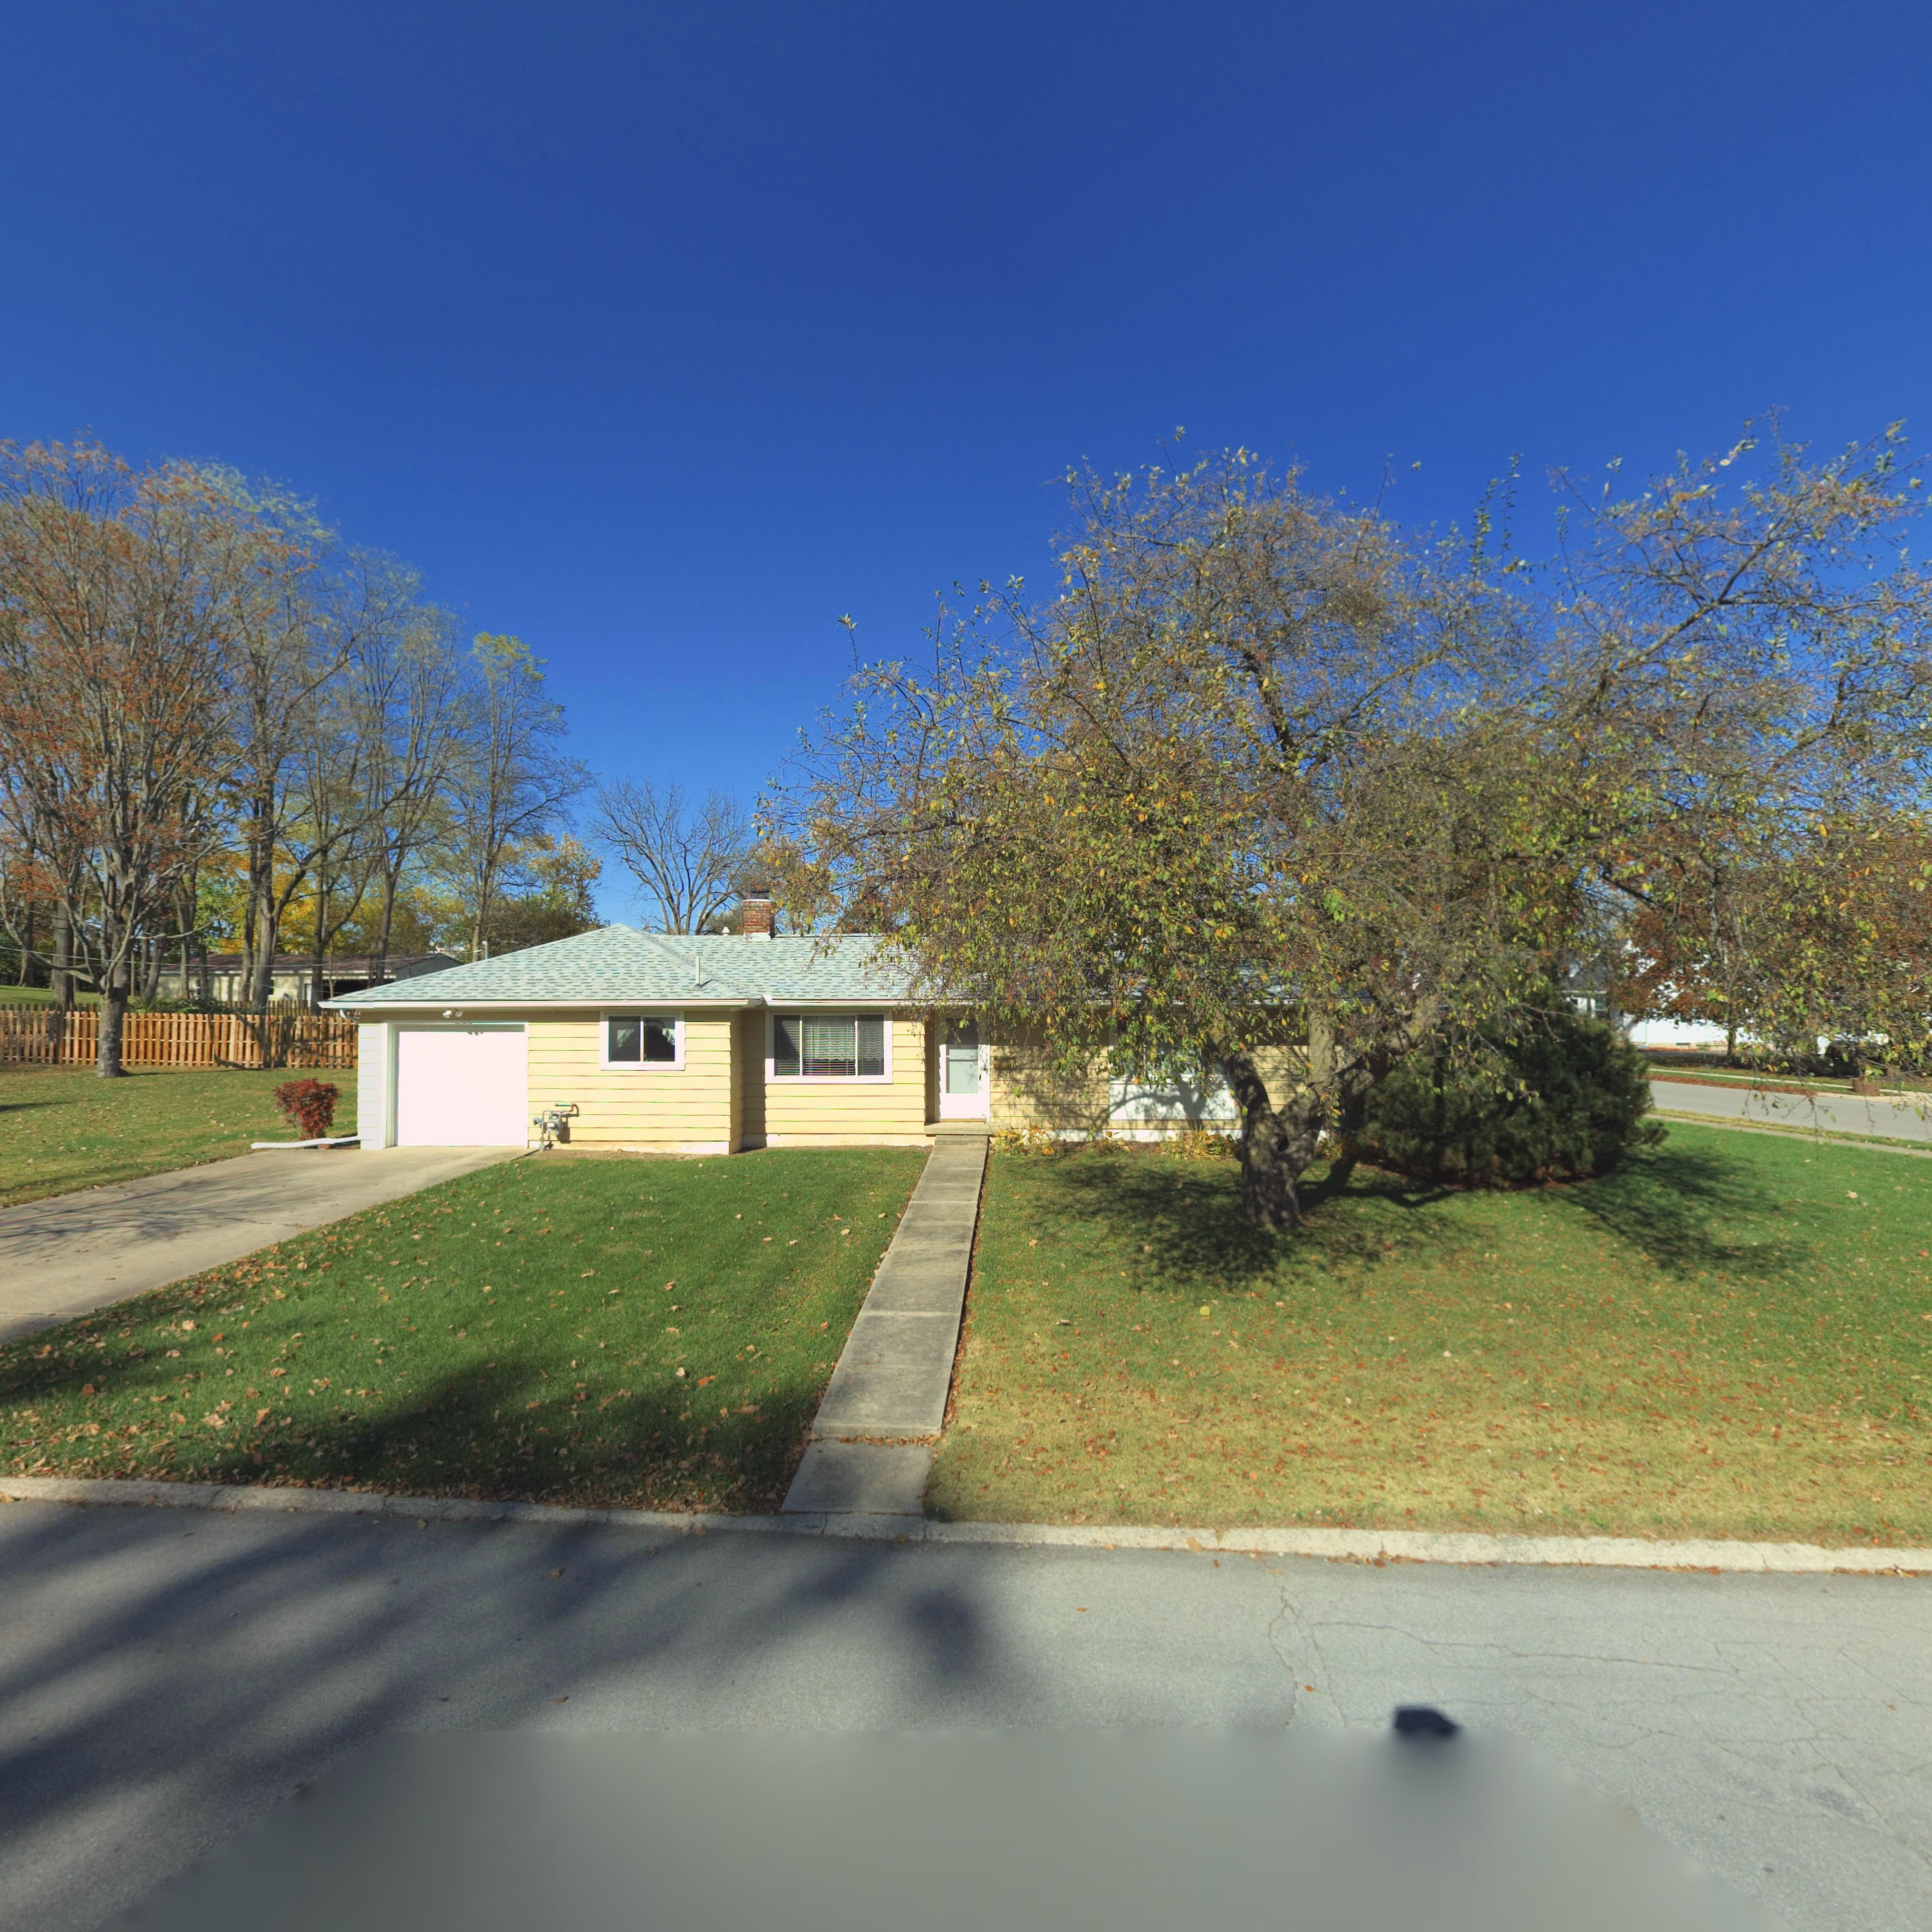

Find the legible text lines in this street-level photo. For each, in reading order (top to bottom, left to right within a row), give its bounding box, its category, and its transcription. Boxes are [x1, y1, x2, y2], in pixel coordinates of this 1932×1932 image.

[996, 1035, 1006, 1042] StreetNumber: 30